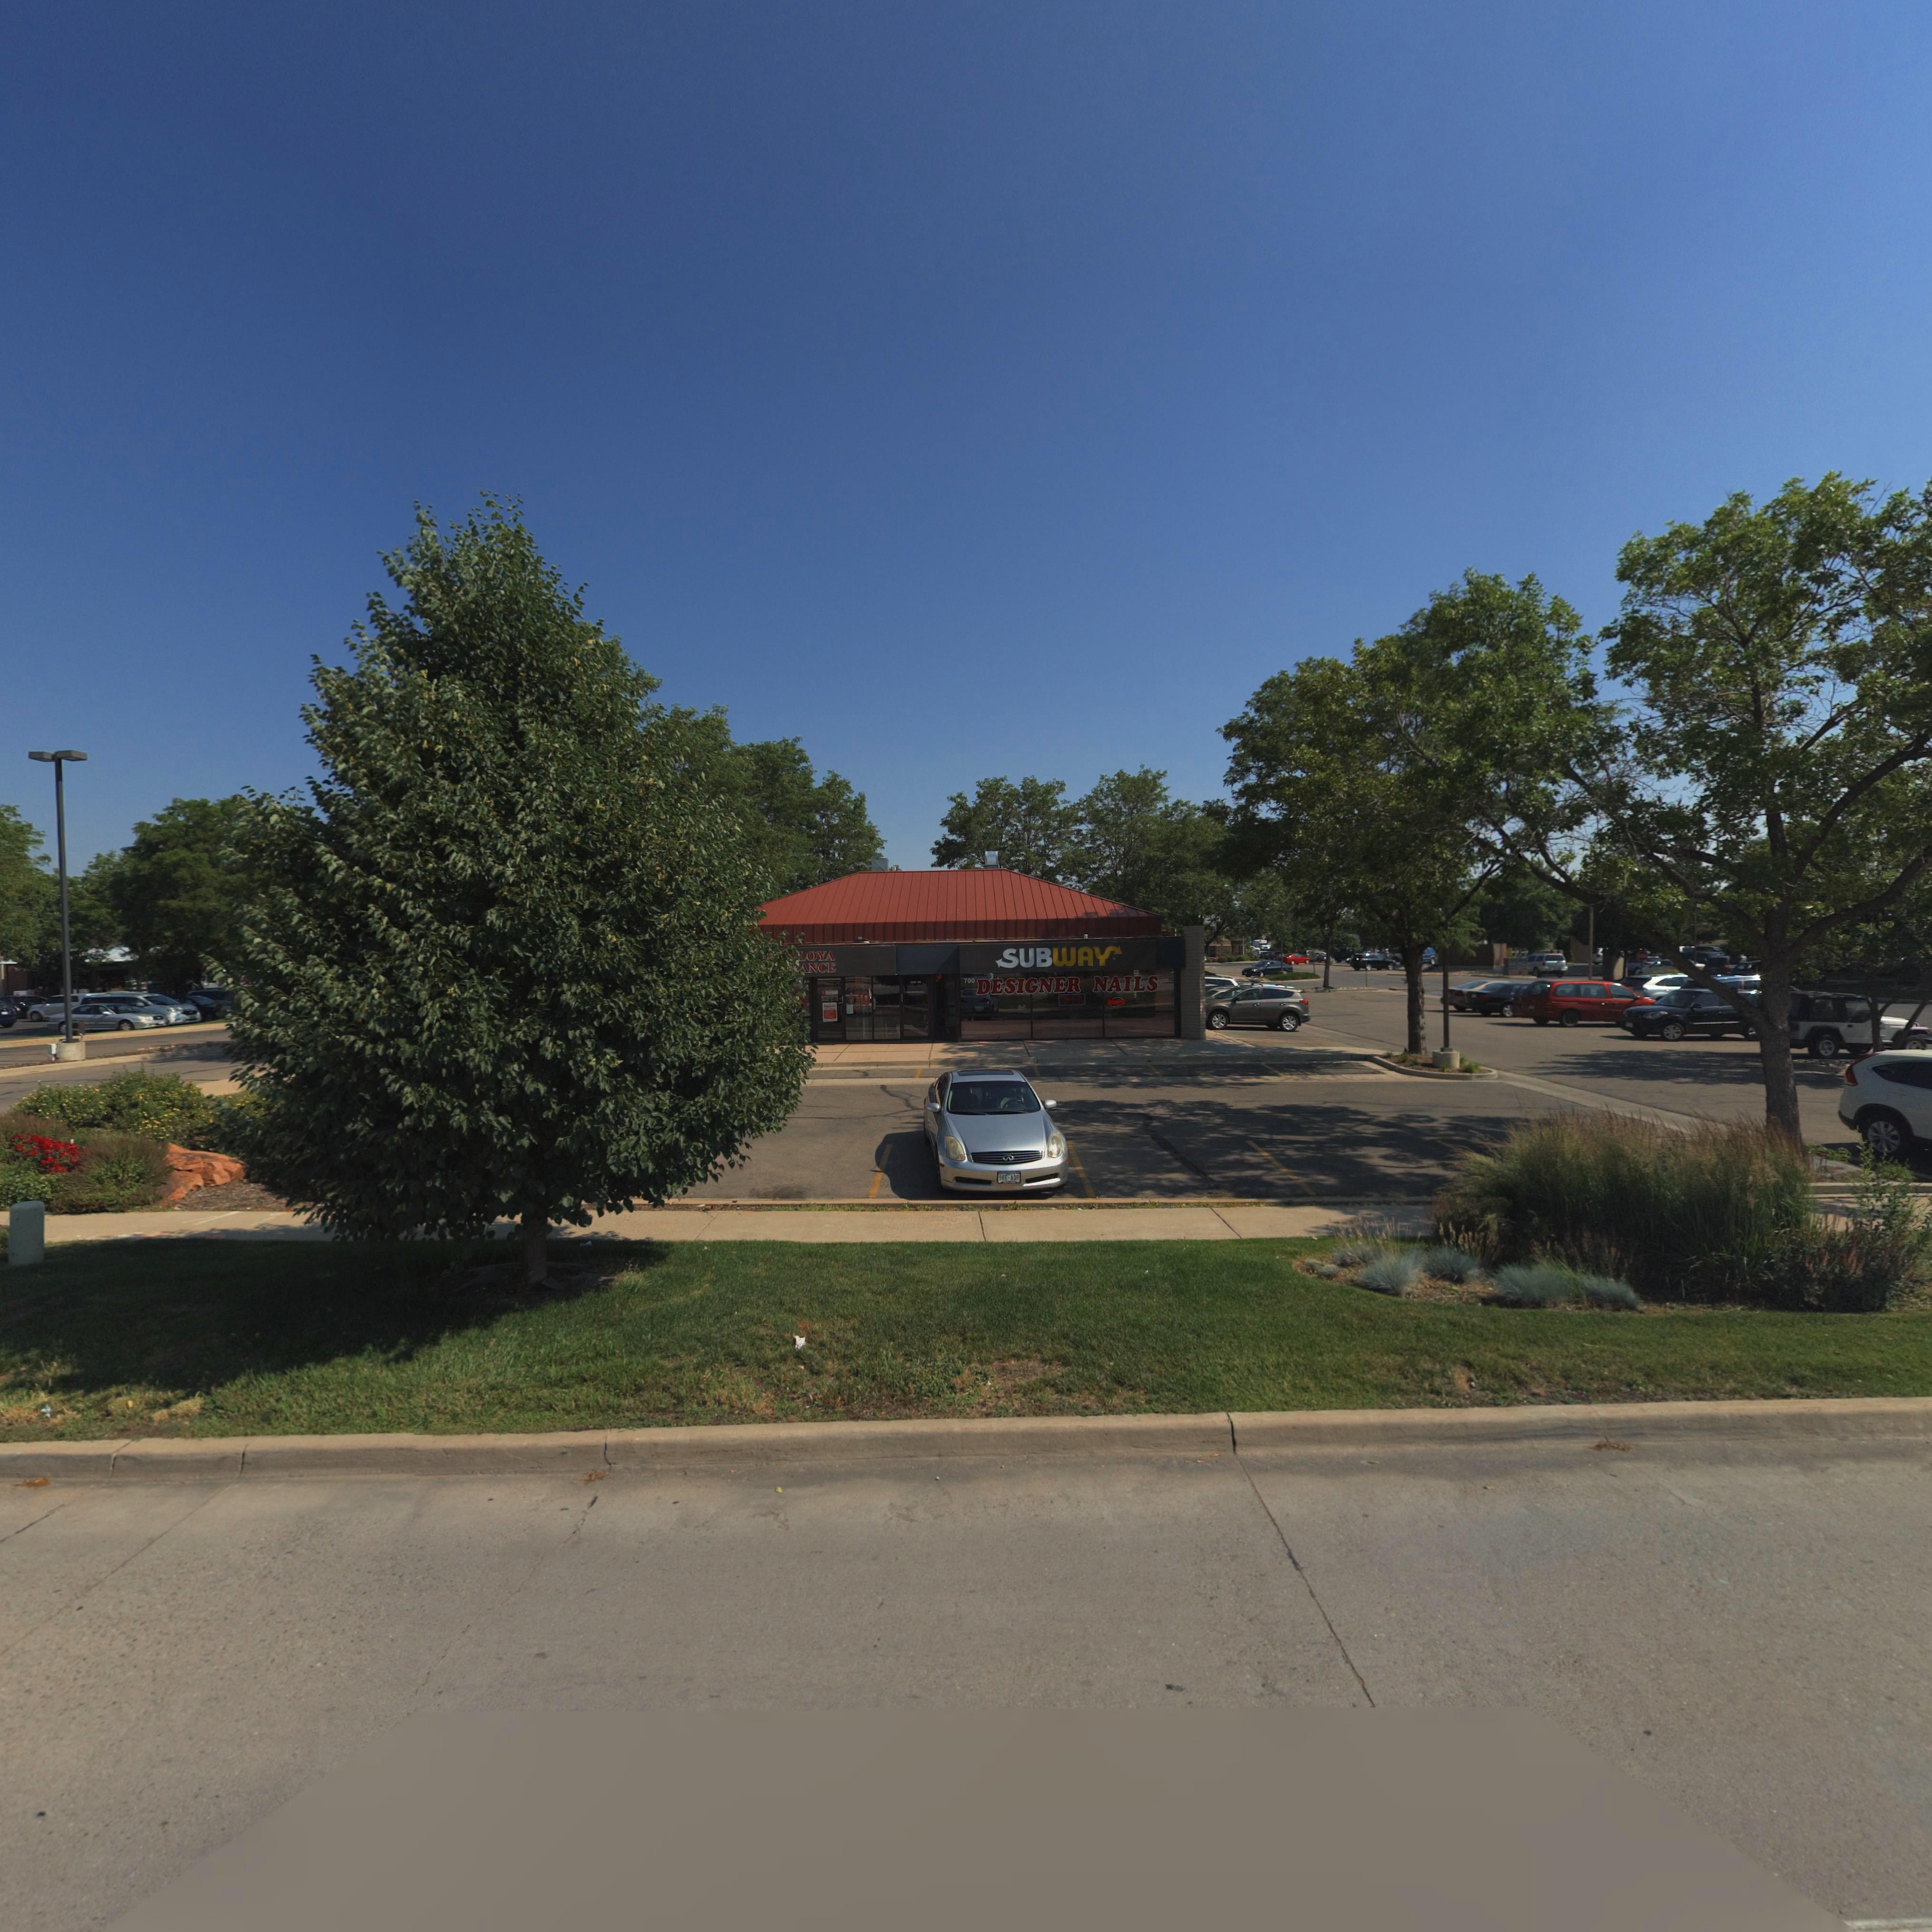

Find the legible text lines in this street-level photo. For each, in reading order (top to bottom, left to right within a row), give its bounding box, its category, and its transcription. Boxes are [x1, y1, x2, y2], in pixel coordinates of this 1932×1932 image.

[767, 950, 835, 961] BusinessName: **** LOYA
[995, 945, 1123, 968] BusinessName: SUBWAY
[782, 962, 836, 973] BusinessName: *****ANCE
[964, 977, 975, 983] StreetNumber: 700
[976, 975, 1159, 995] BusinessName: DESIGNER NAILS